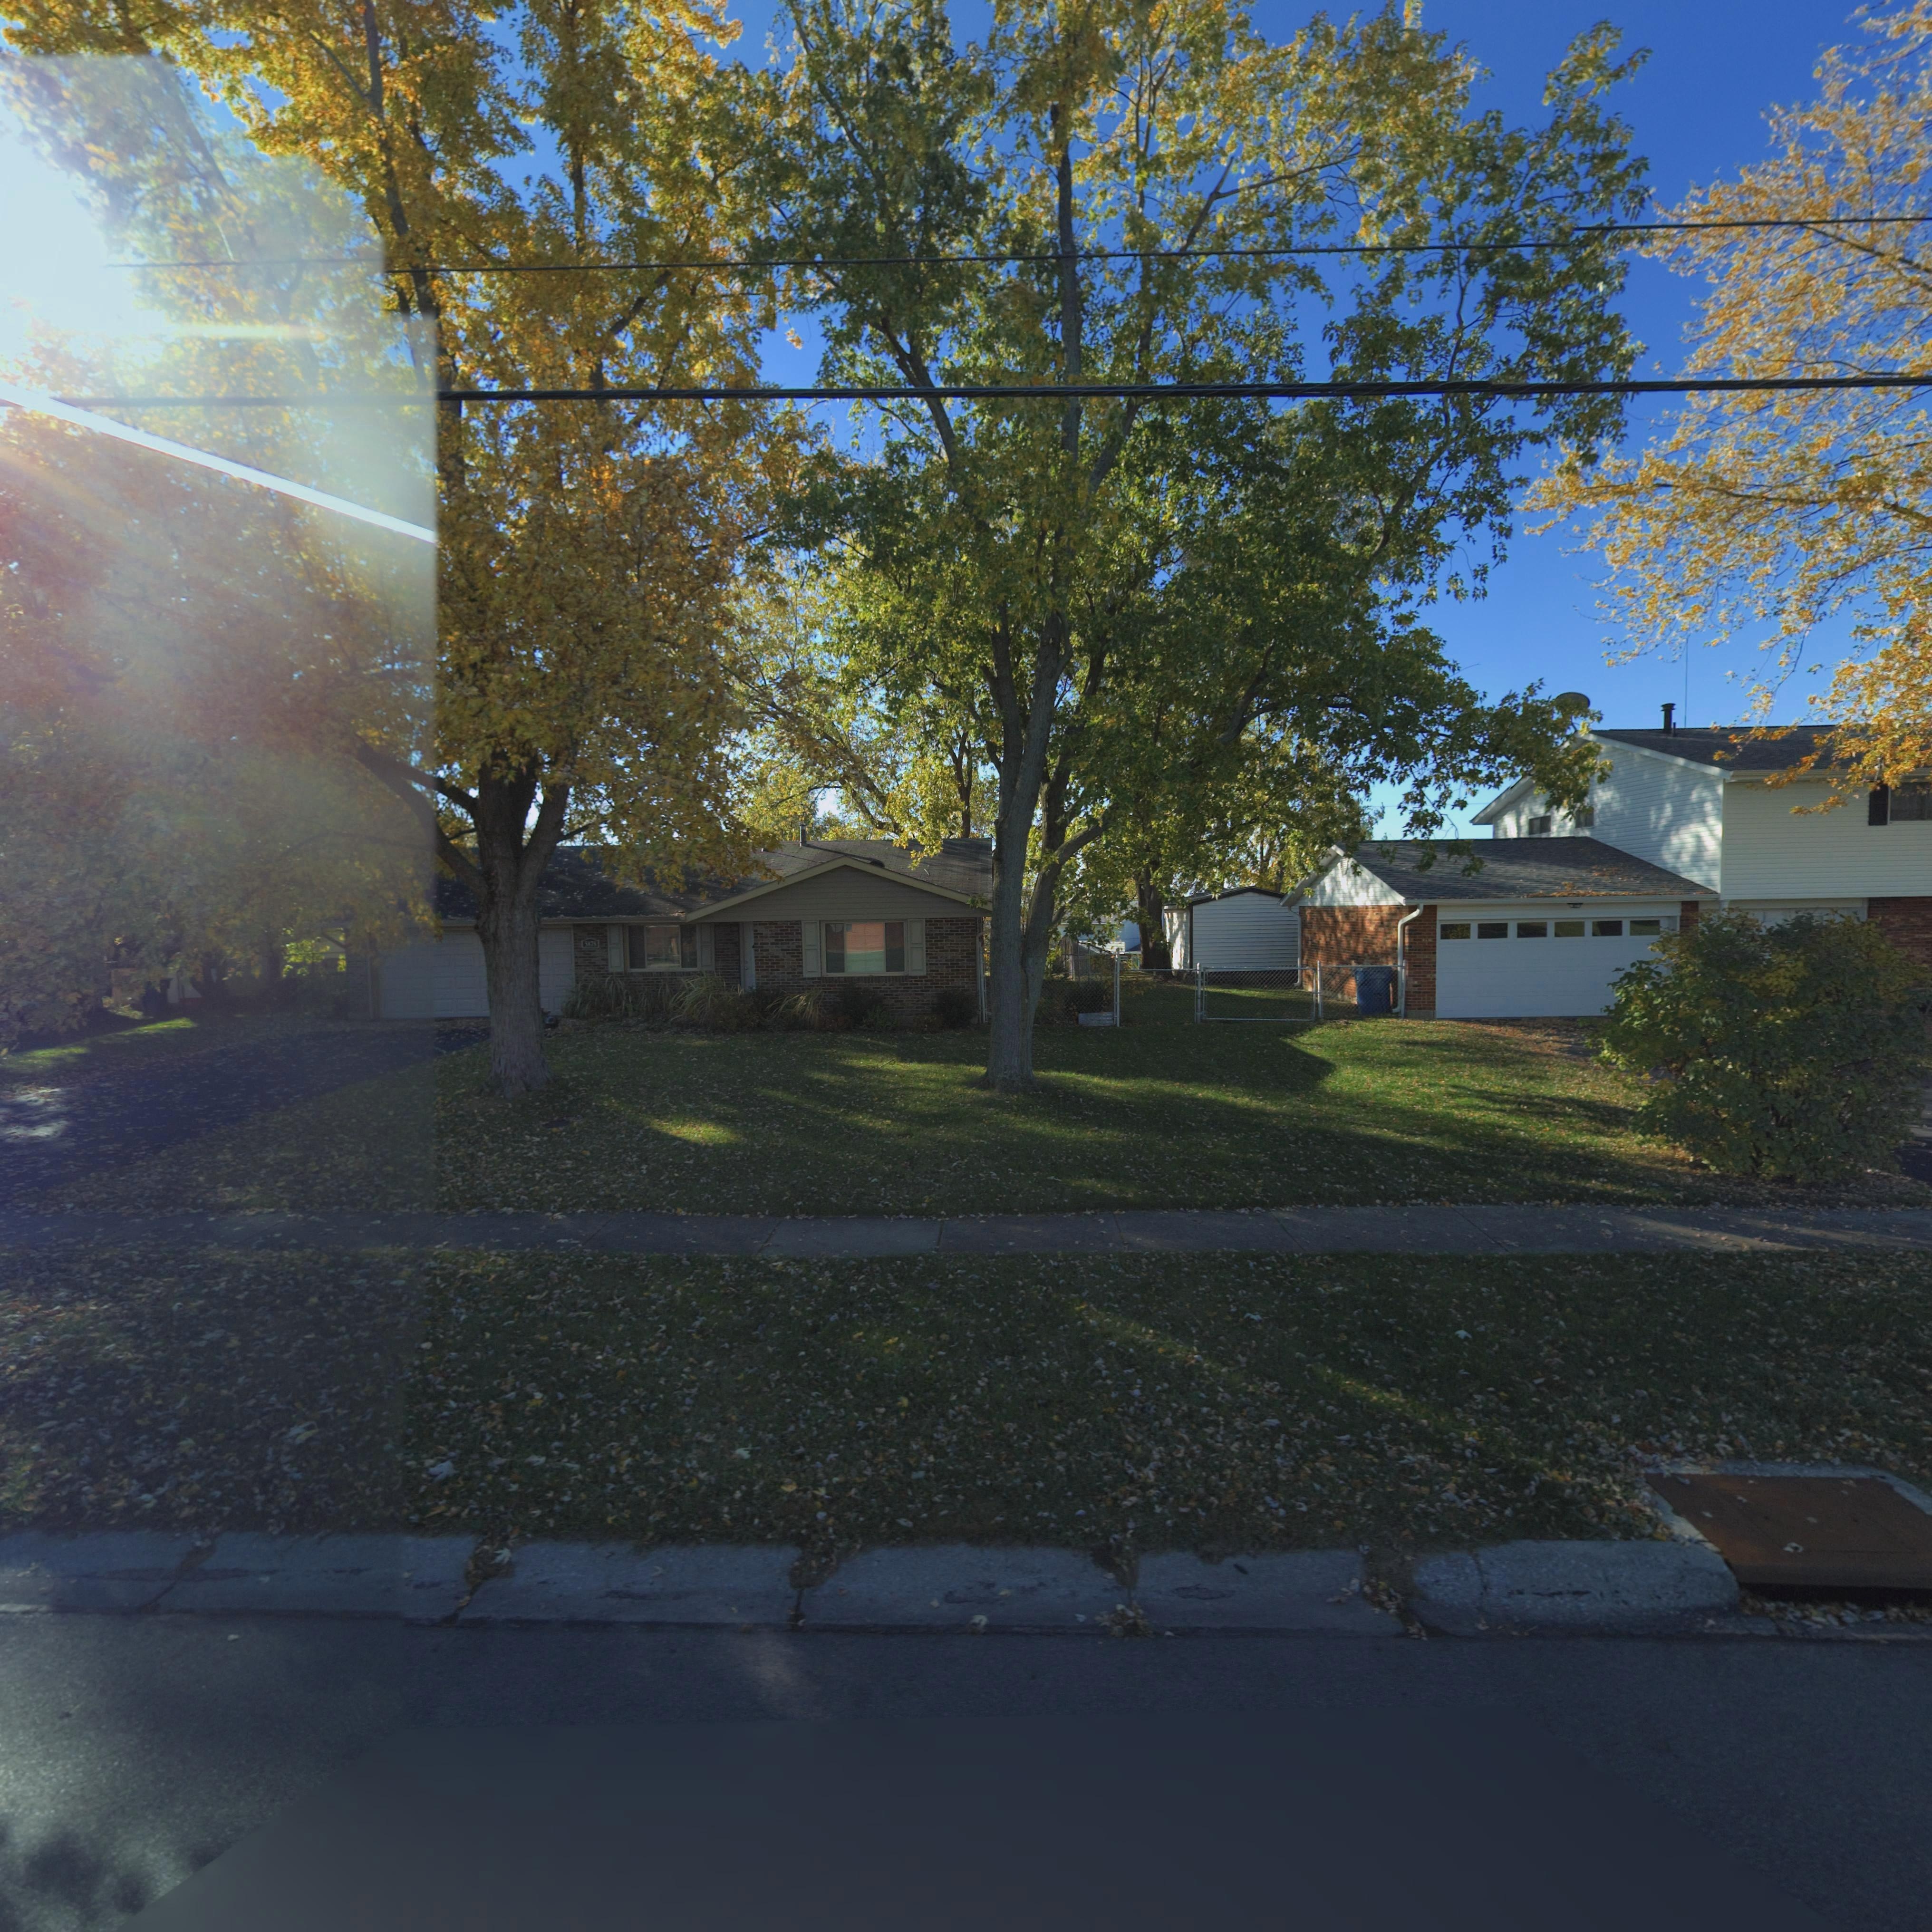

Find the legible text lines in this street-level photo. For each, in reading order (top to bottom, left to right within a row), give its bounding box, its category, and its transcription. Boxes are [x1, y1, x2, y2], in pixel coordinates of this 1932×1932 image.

[584, 941, 598, 947] StreetNumber: 5878